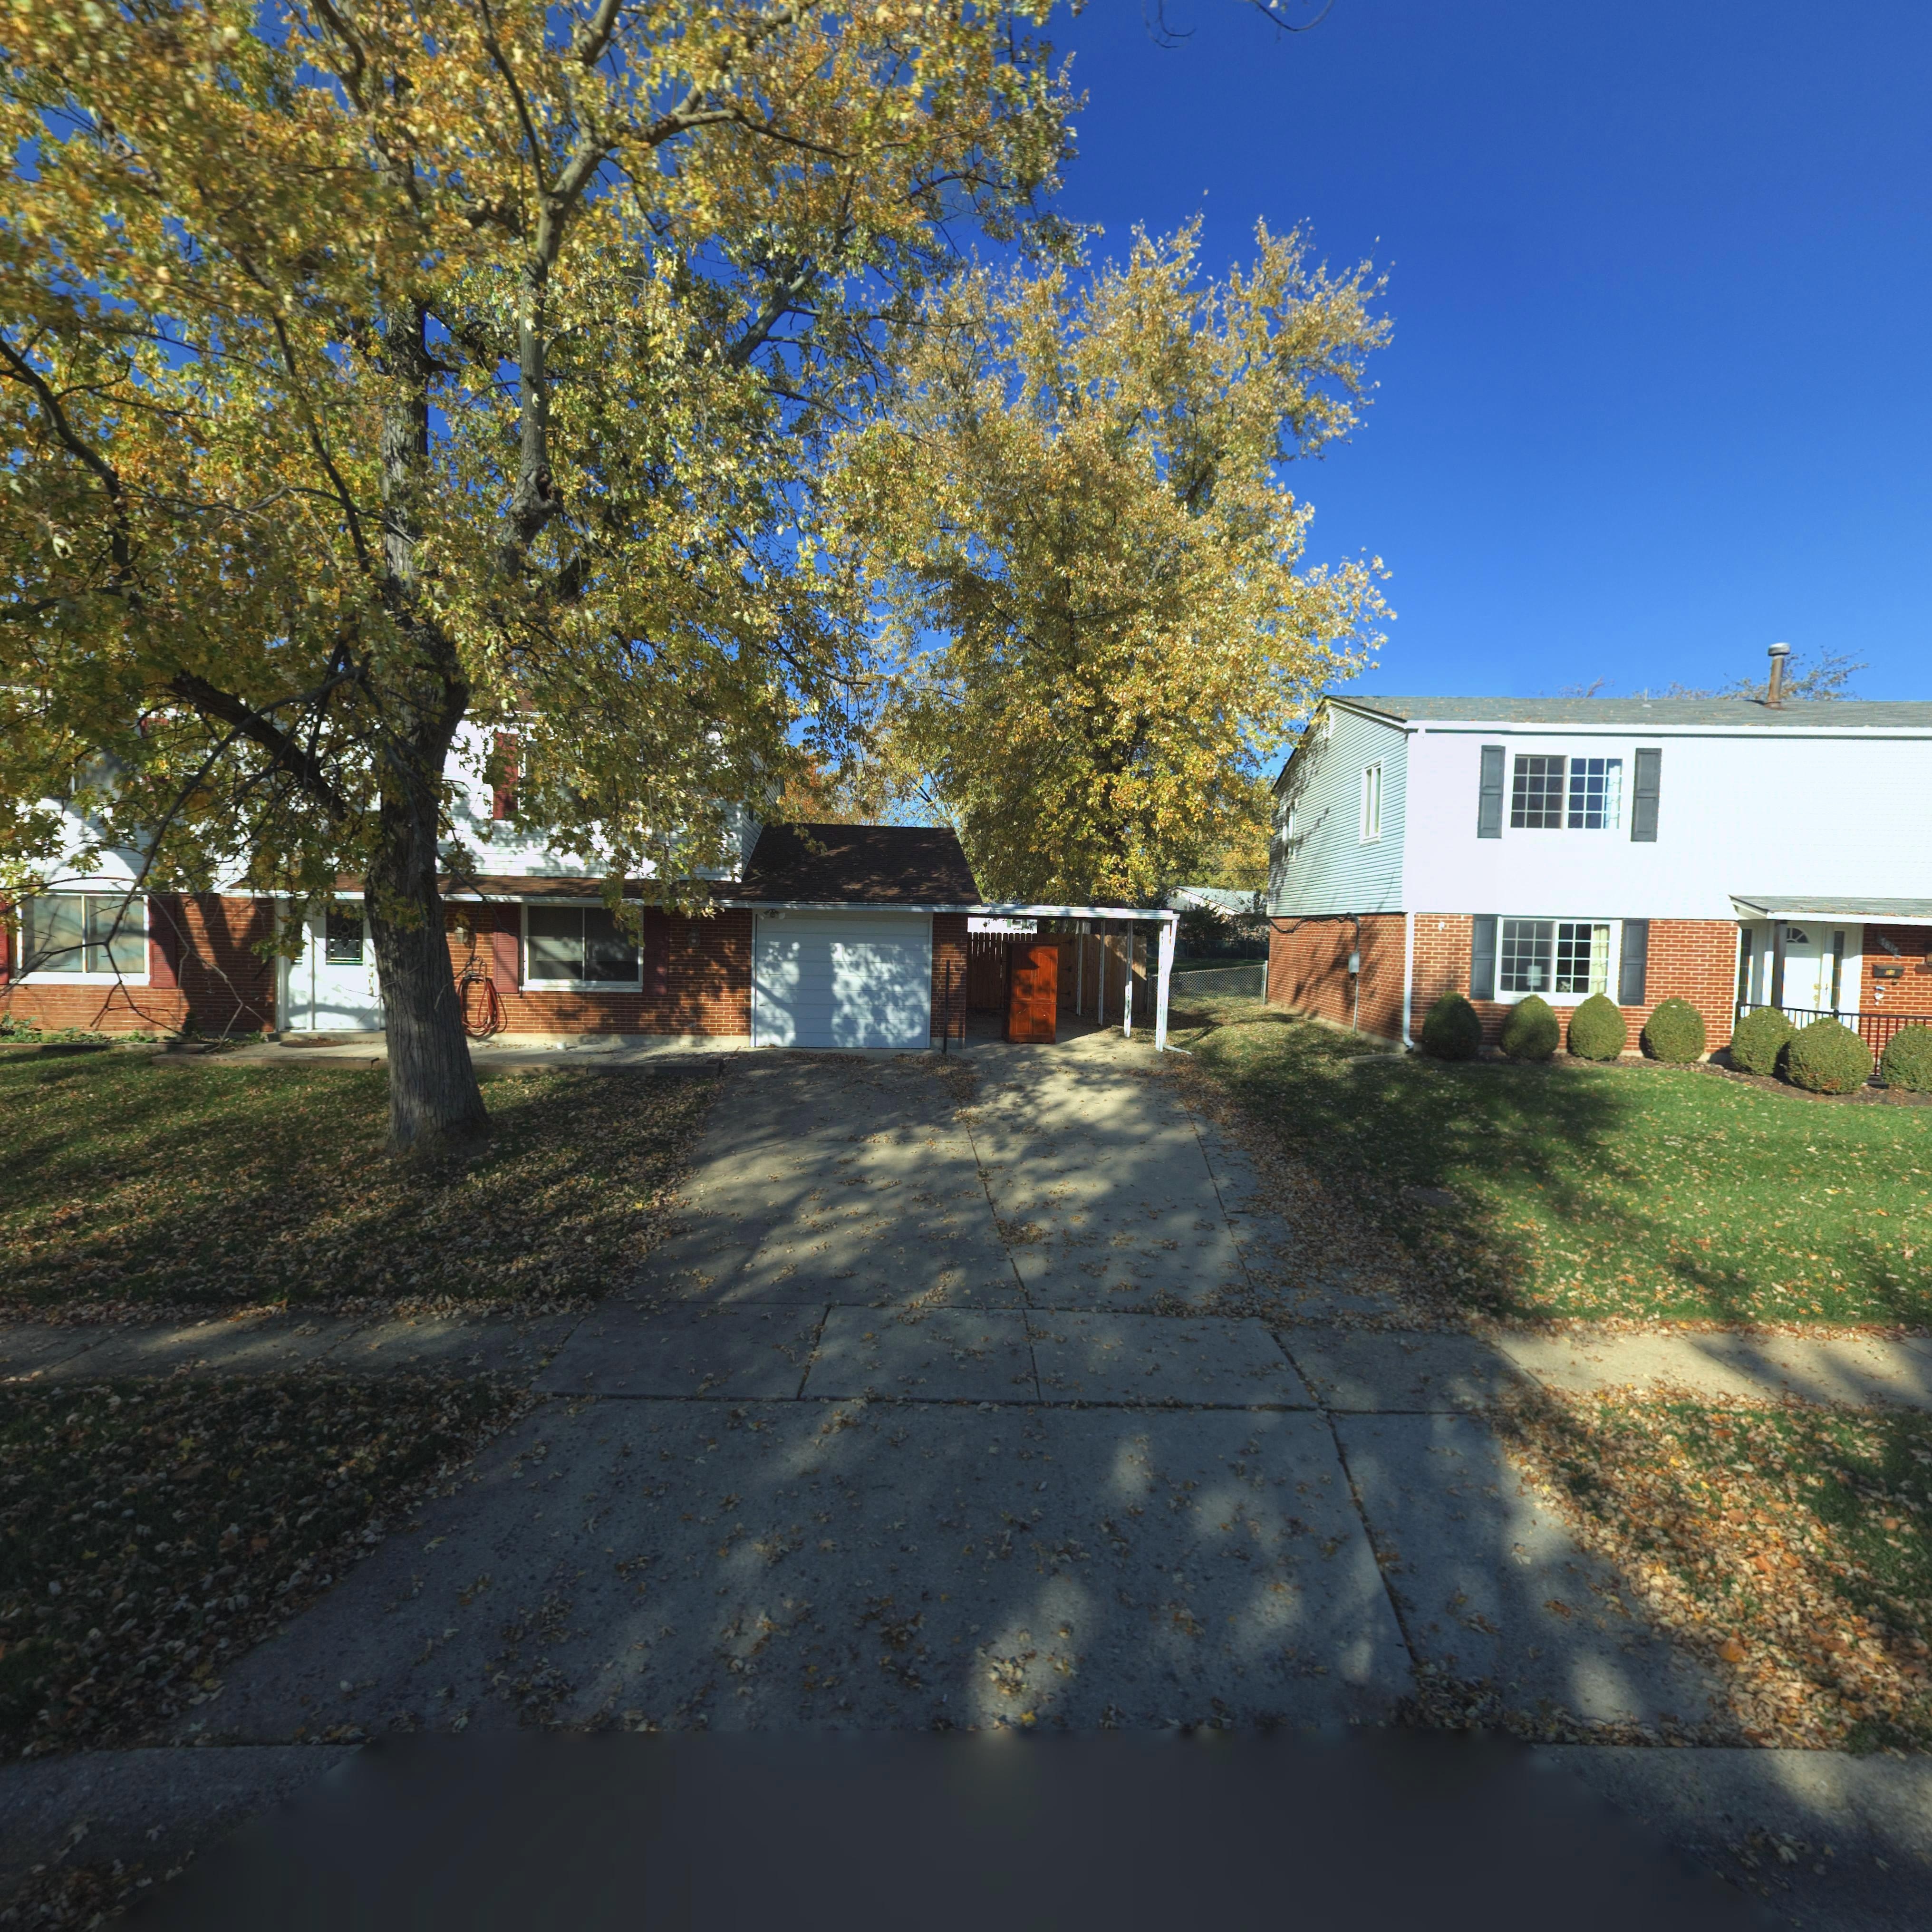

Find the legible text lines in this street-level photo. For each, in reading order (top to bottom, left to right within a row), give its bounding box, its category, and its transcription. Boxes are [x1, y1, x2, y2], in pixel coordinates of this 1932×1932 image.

[1879, 937, 1900, 958] StreetNumber: 7817